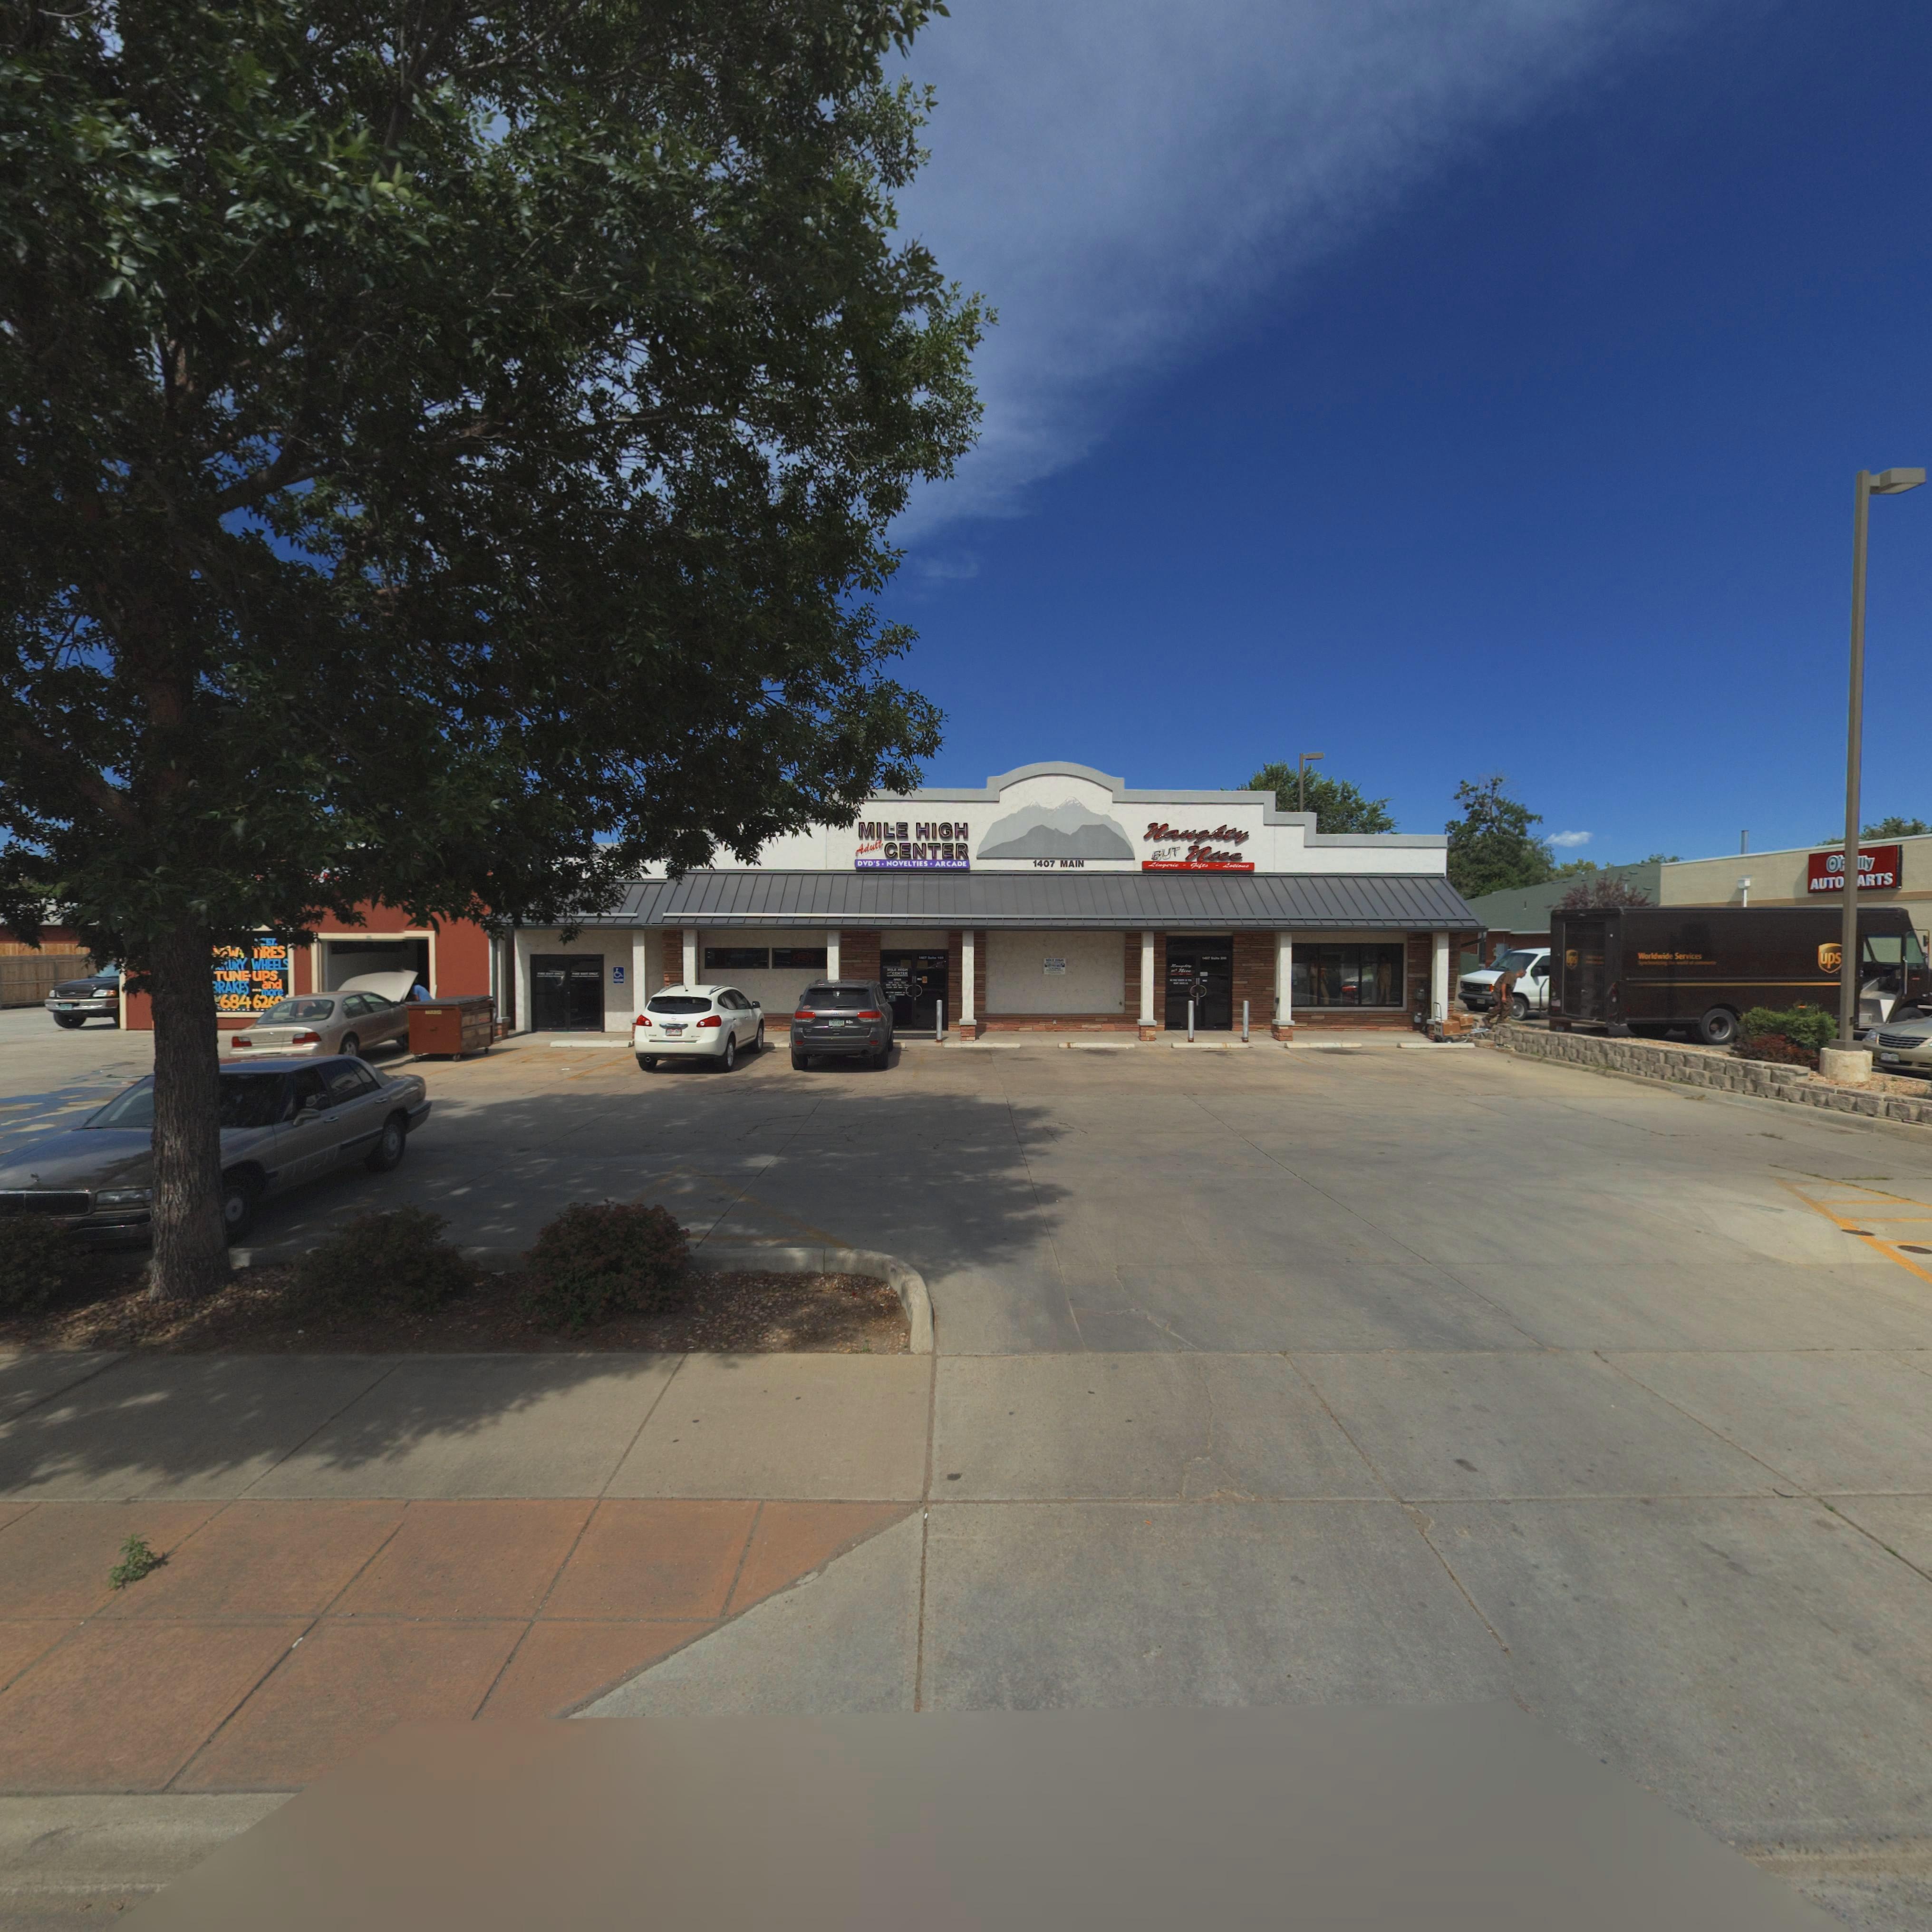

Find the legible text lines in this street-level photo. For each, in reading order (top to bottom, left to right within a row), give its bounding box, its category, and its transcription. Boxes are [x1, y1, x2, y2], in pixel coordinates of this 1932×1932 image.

[1142, 821, 1250, 844] BusinessName: Naughty
[1150, 845, 1244, 861] BusinessName: BUT Nice
[1033, 860, 1055, 867] StreetNumber: 1407
[1060, 860, 1084, 867] StreetName: MAIN
[1827, 854, 1874, 871] BusinessName: O'***lly
[1808, 871, 1894, 890] BusinessName: AUTO *ARTS
[919, 956, 927, 959] StreetNumber: 1407
[927, 956, 944, 959] BusinessName: Suite 100
[1201, 956, 1210, 960] StreetNumber: 1407
[1211, 956, 1227, 960] SecondaryUnitDesignator: SUITE Z***
[1169, 963, 1193, 968] BusinessName: N****ty
[887, 968, 908, 971] BusinessName: MILE HIGH
[1170, 968, 1191, 972] BusinessName: **T Nice
[891, 971, 908, 975] BusinessName: CENTER